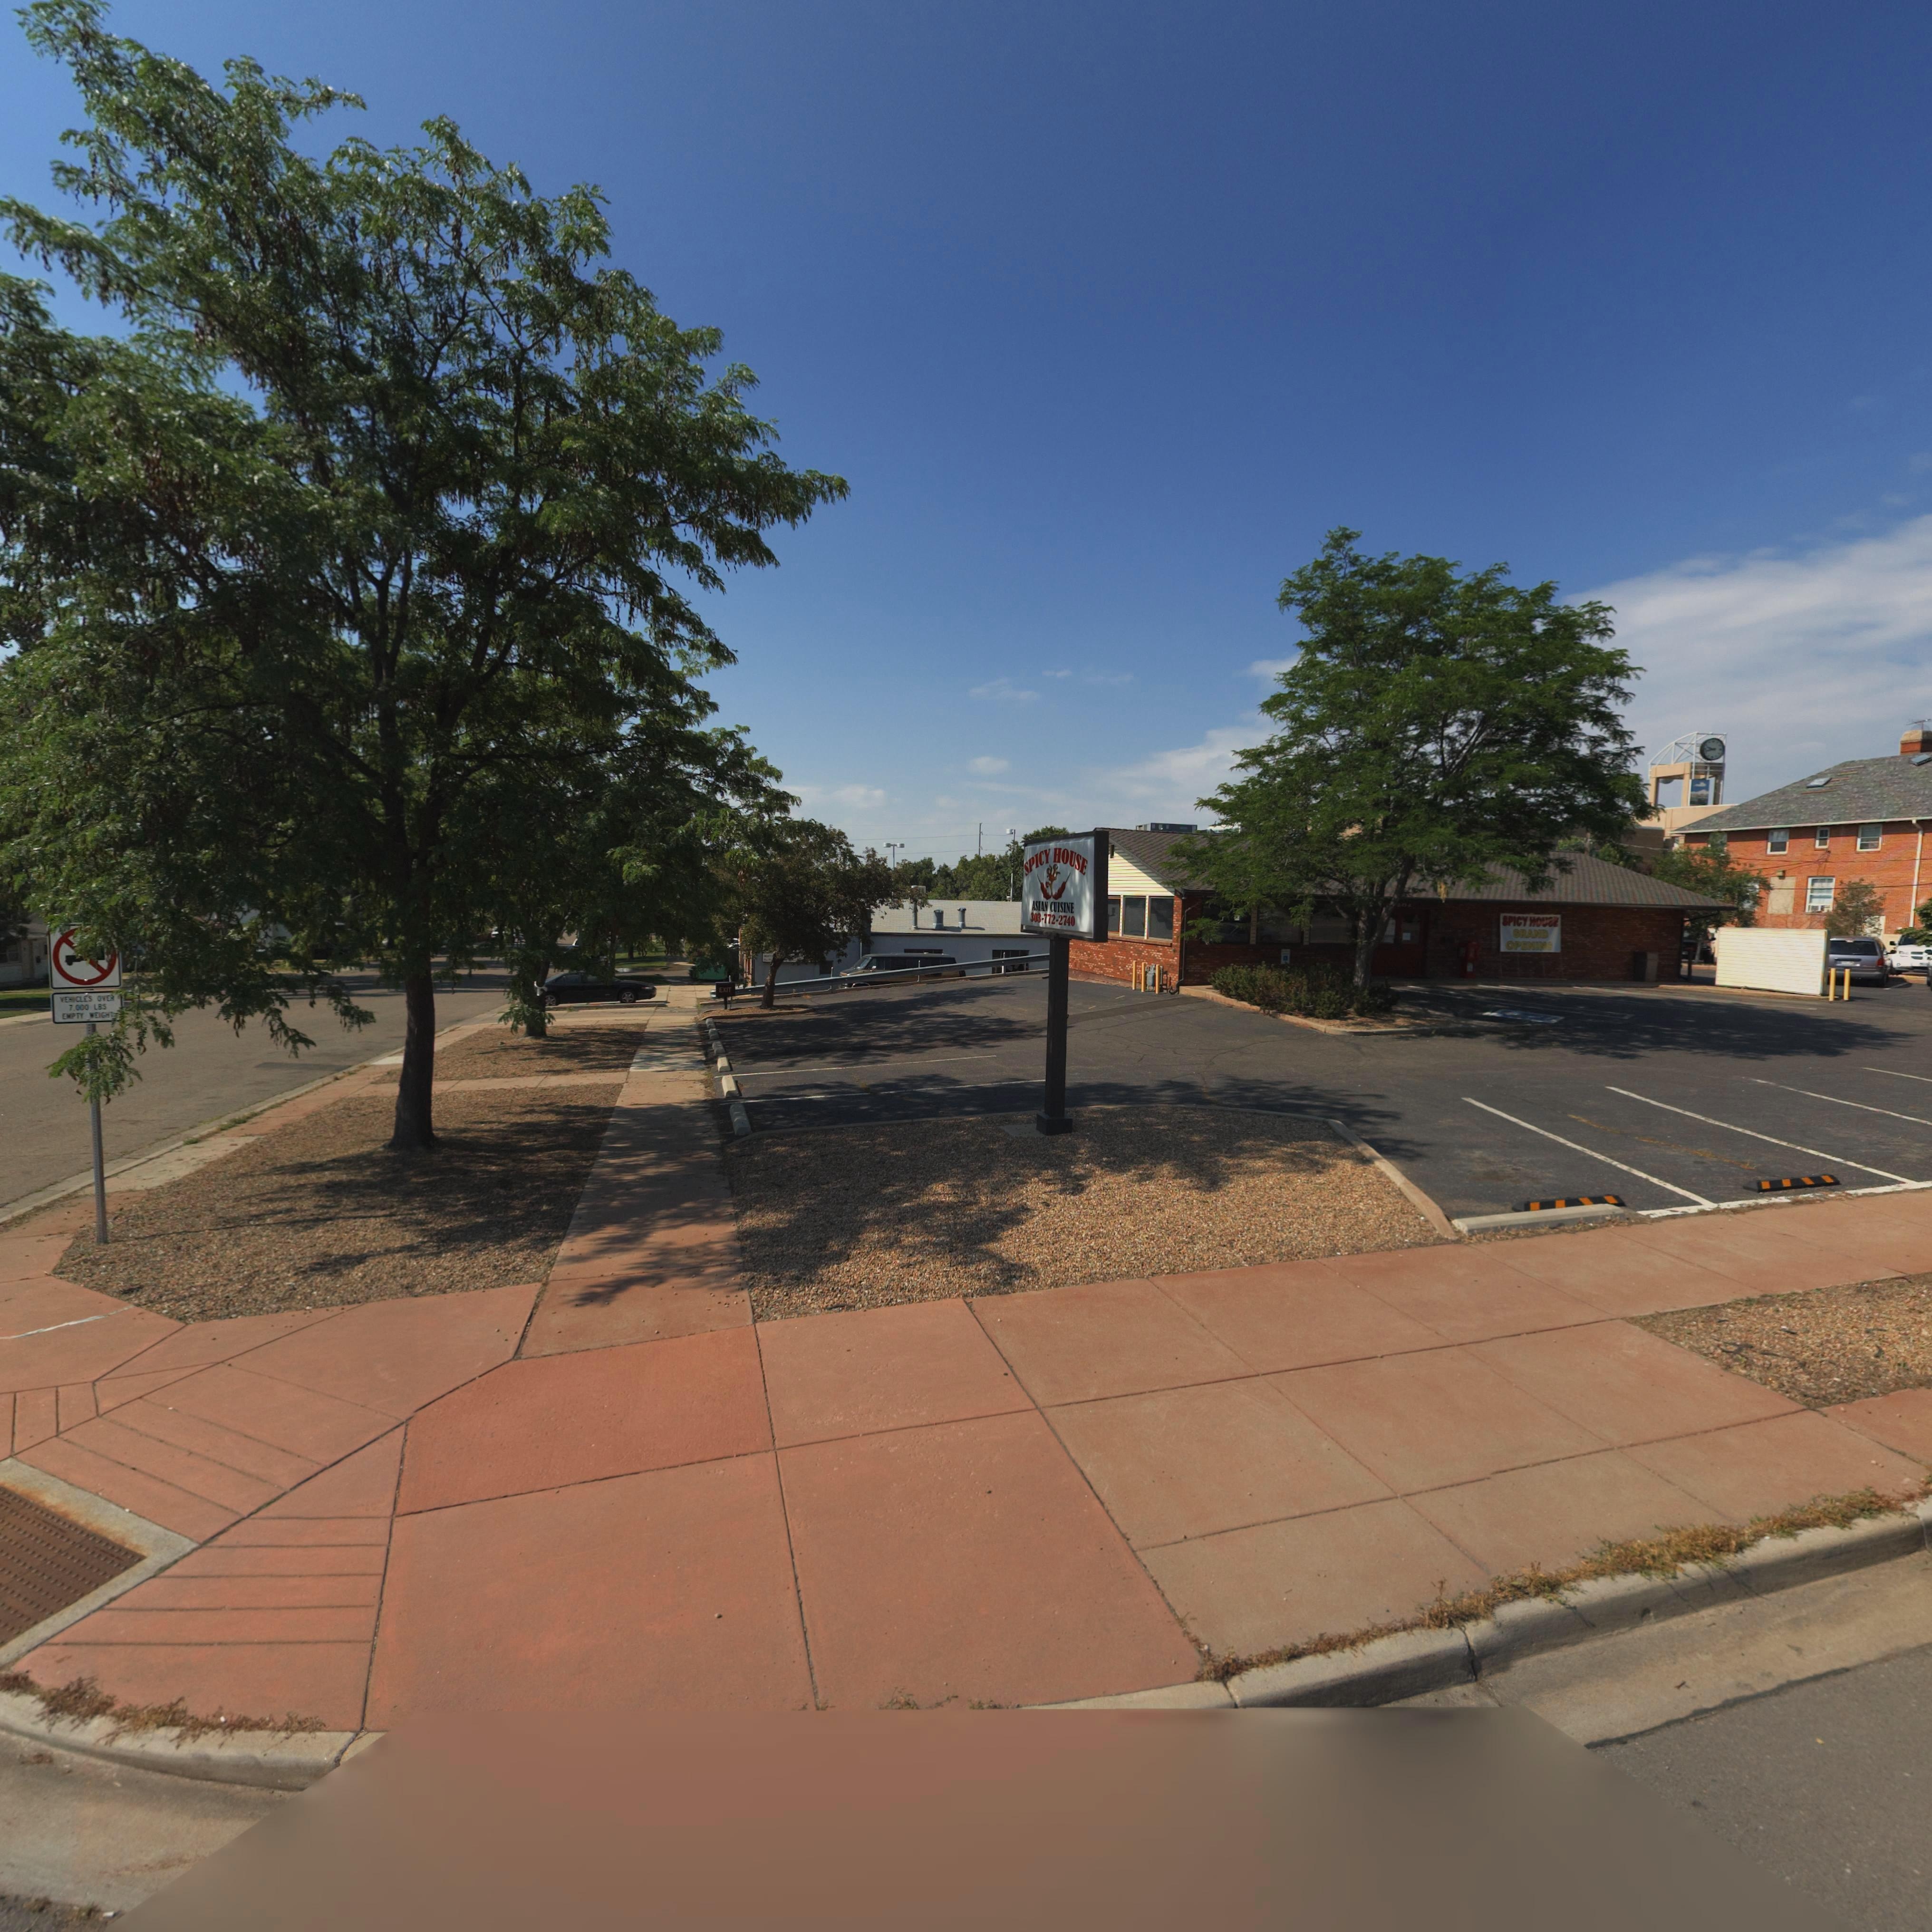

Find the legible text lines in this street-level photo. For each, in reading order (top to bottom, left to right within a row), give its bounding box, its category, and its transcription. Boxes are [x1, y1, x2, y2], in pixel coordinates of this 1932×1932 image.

[1024, 847, 1088, 877] BusinessName: SPICY HOUSE
[1031, 900, 1074, 913] BusinessName: ASIAN CUISINE
[1397, 902, 1411, 908] StreetNumber: *04
[1502, 915, 1559, 927] BusinessName: SPICY HOUSE